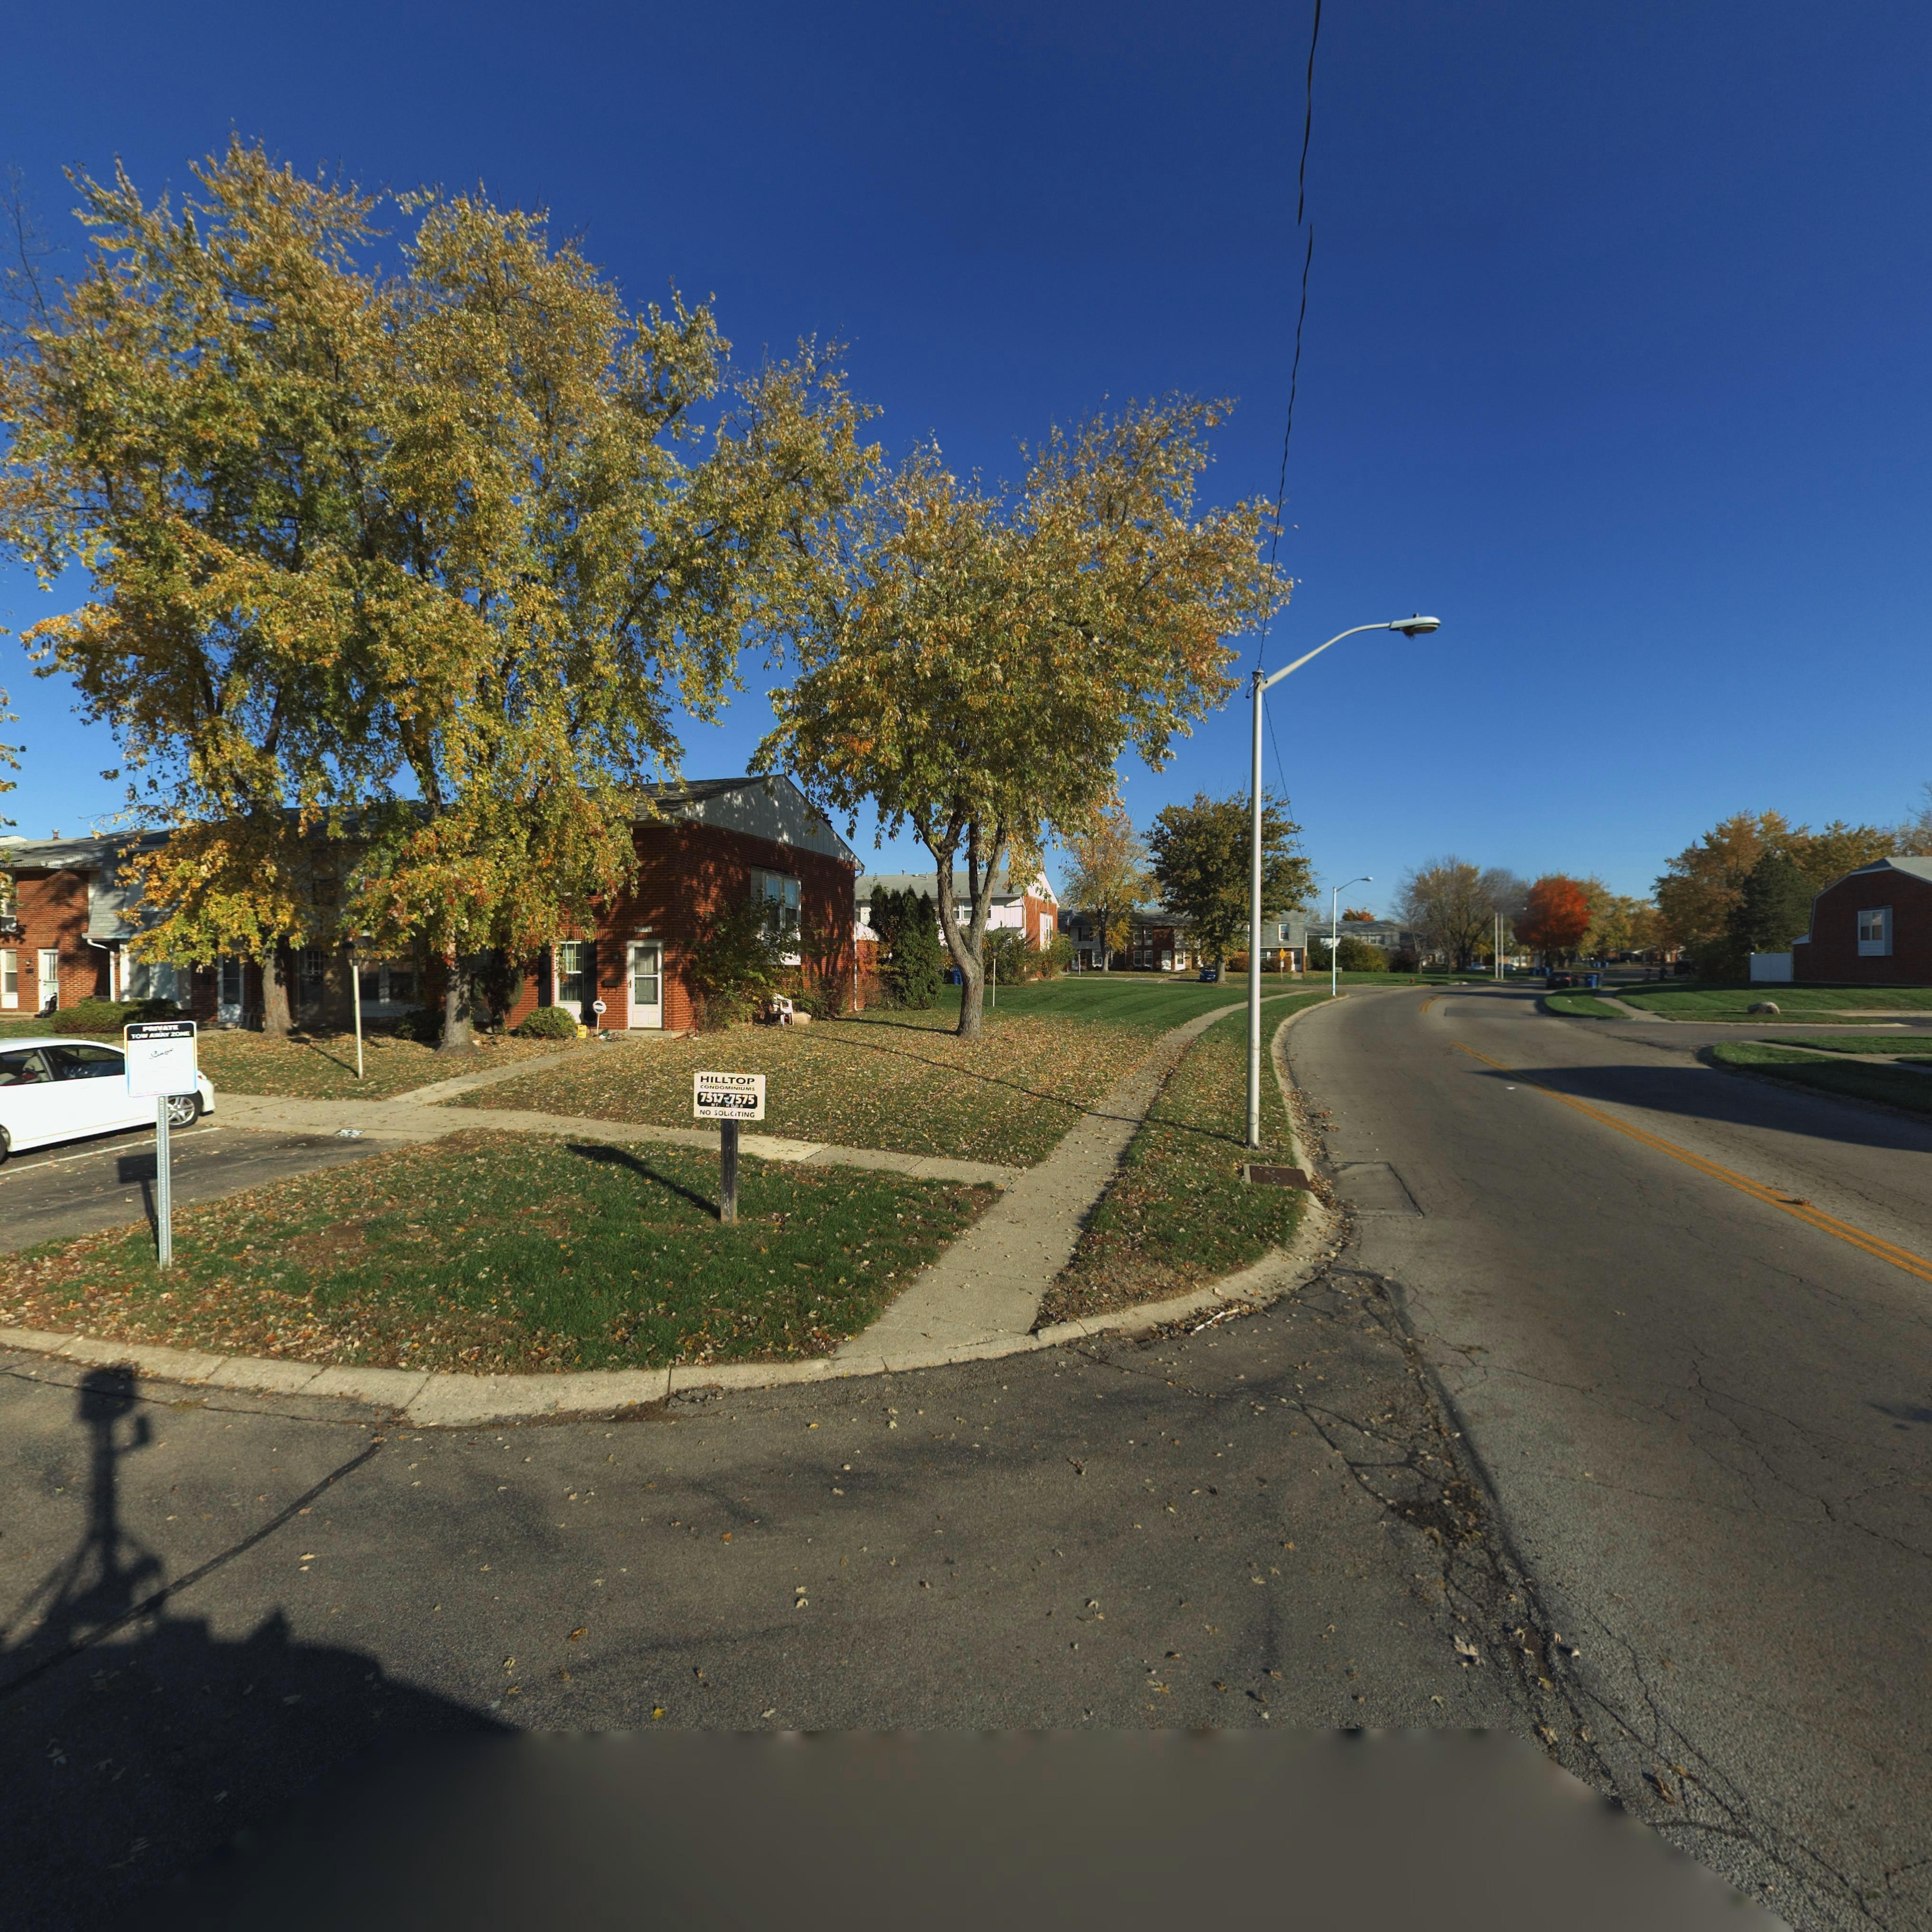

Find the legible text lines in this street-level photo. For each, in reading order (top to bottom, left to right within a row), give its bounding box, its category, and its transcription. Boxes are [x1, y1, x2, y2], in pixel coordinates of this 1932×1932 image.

[637, 927, 650, 932] StreetNumber: 7575
[332, 1129, 364, 1138] StreetNumber: 7575